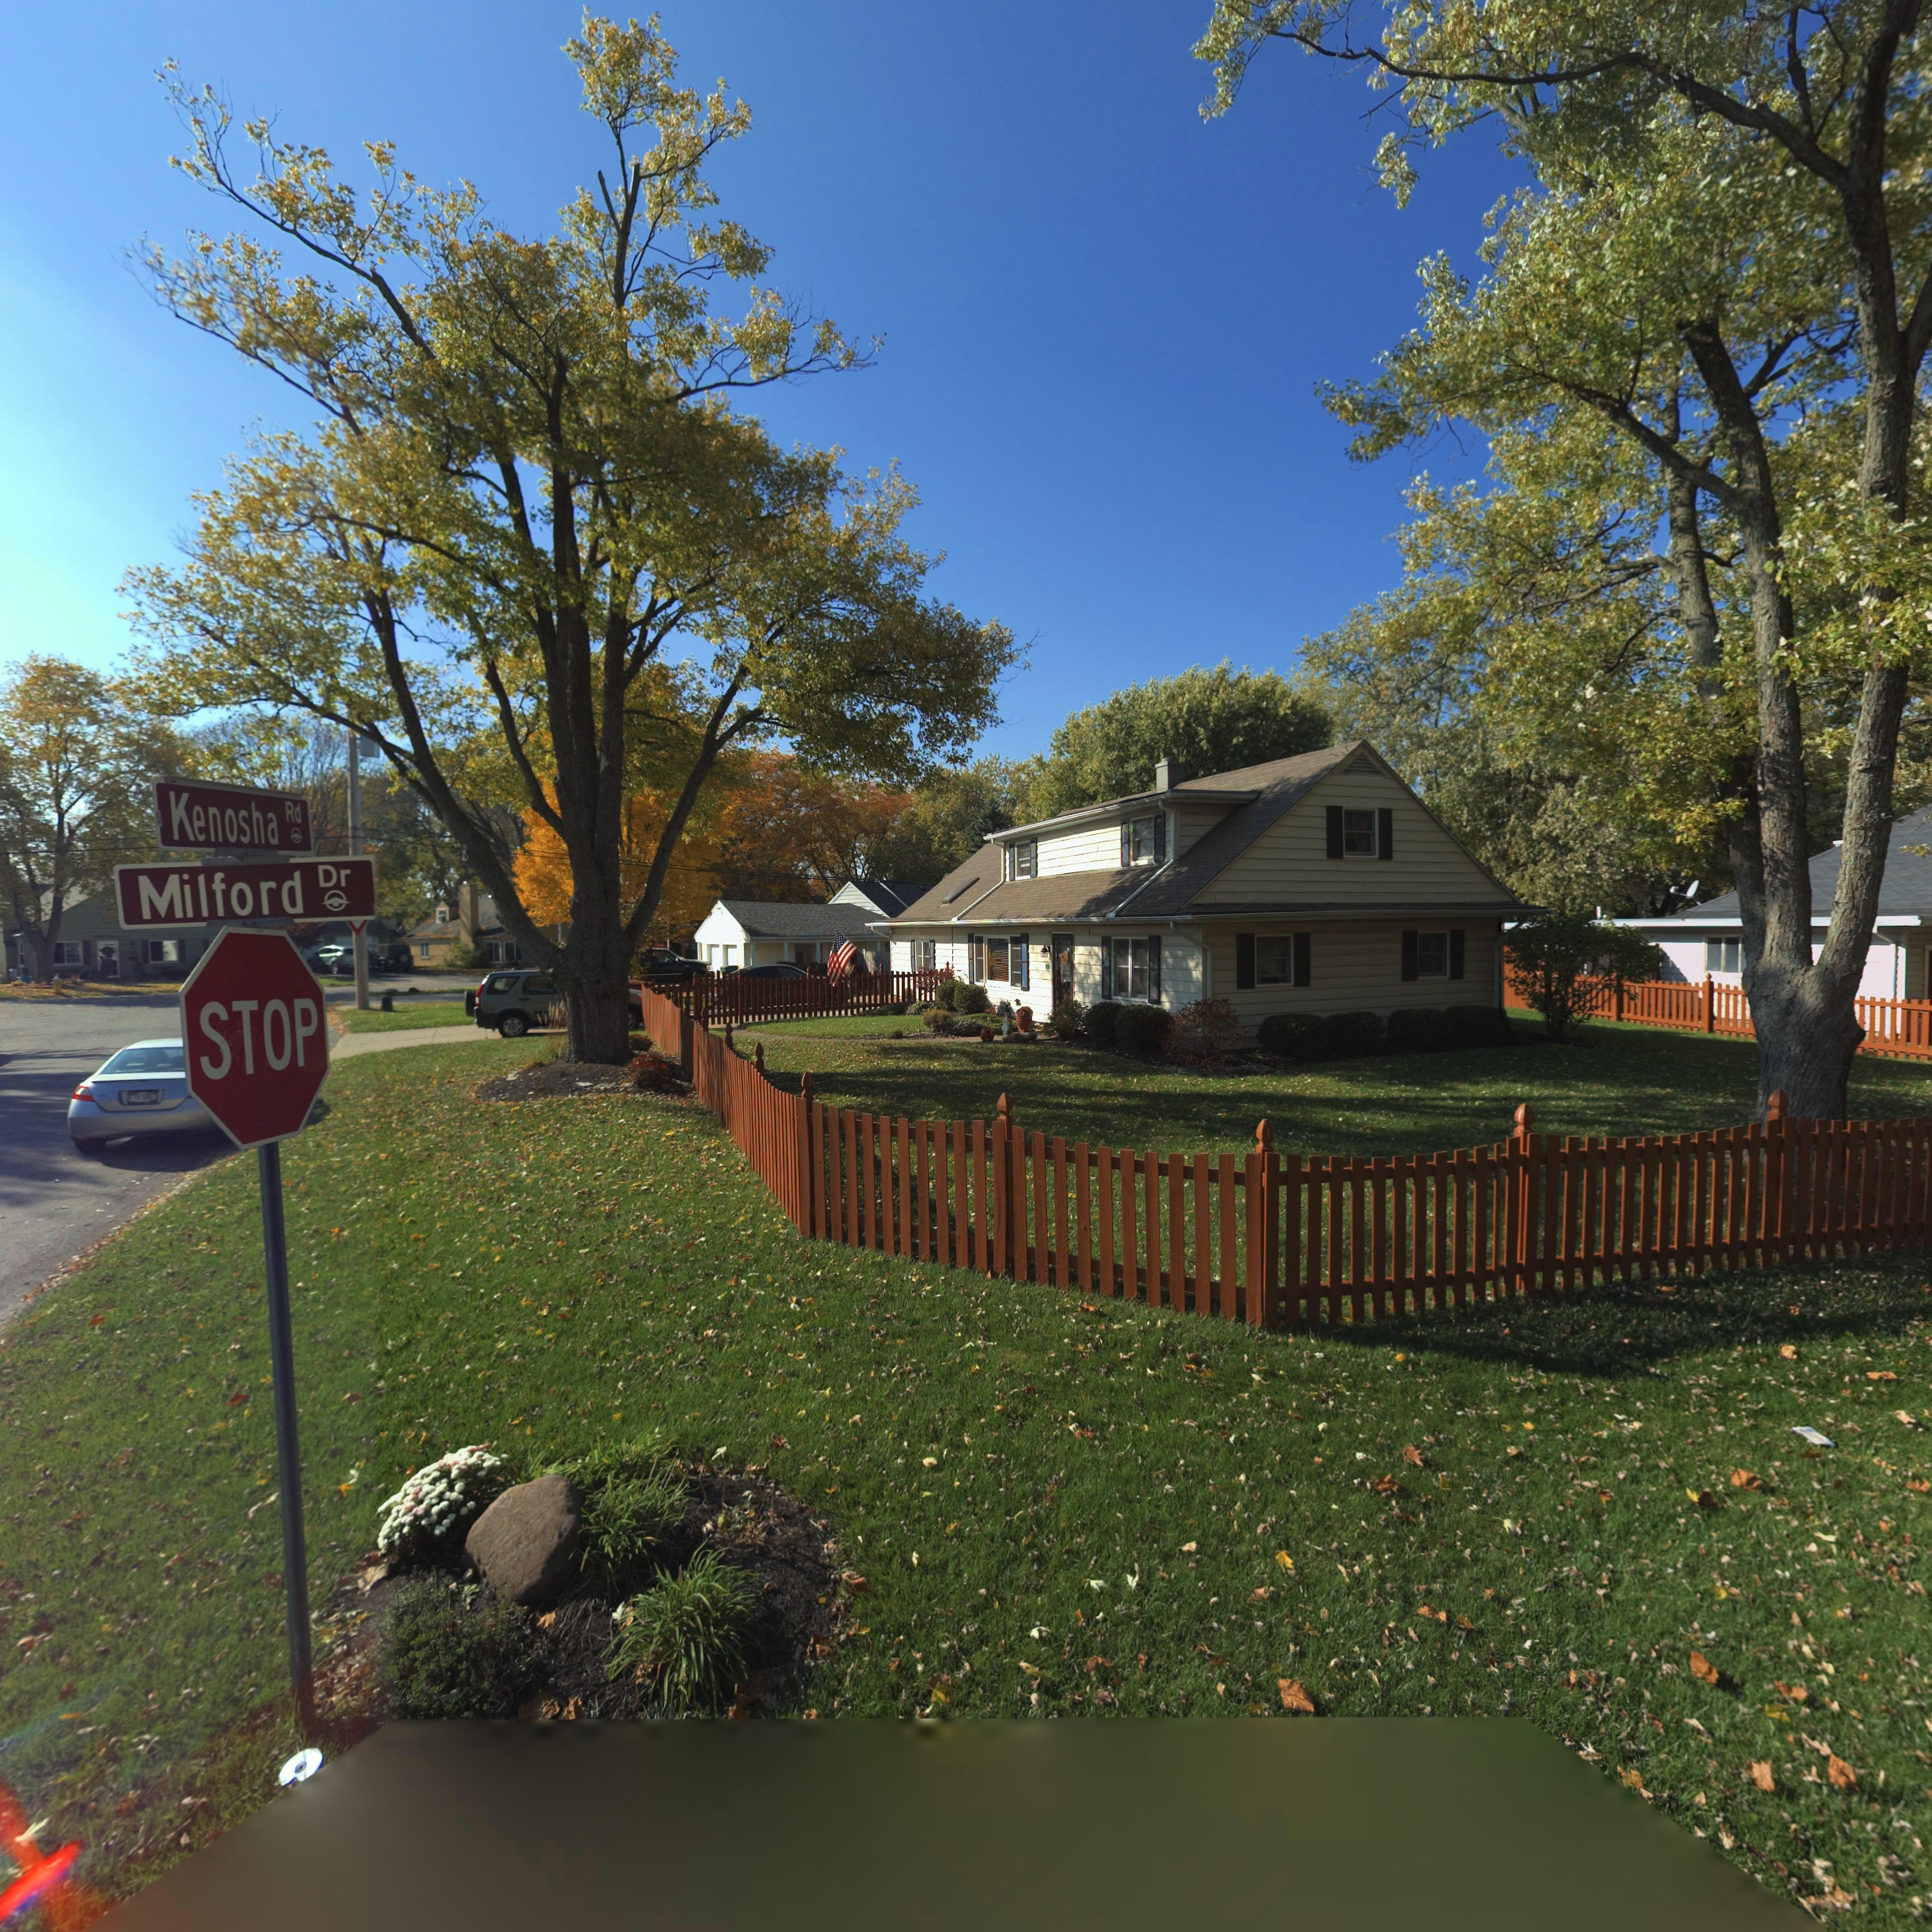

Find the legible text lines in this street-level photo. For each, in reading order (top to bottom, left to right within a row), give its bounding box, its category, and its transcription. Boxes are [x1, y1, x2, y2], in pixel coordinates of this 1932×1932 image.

[166, 787, 305, 847] StreetName: Kenosha Rd
[135, 861, 355, 924] StreetName: Milford Dr
[195, 992, 324, 1085] None: STOP